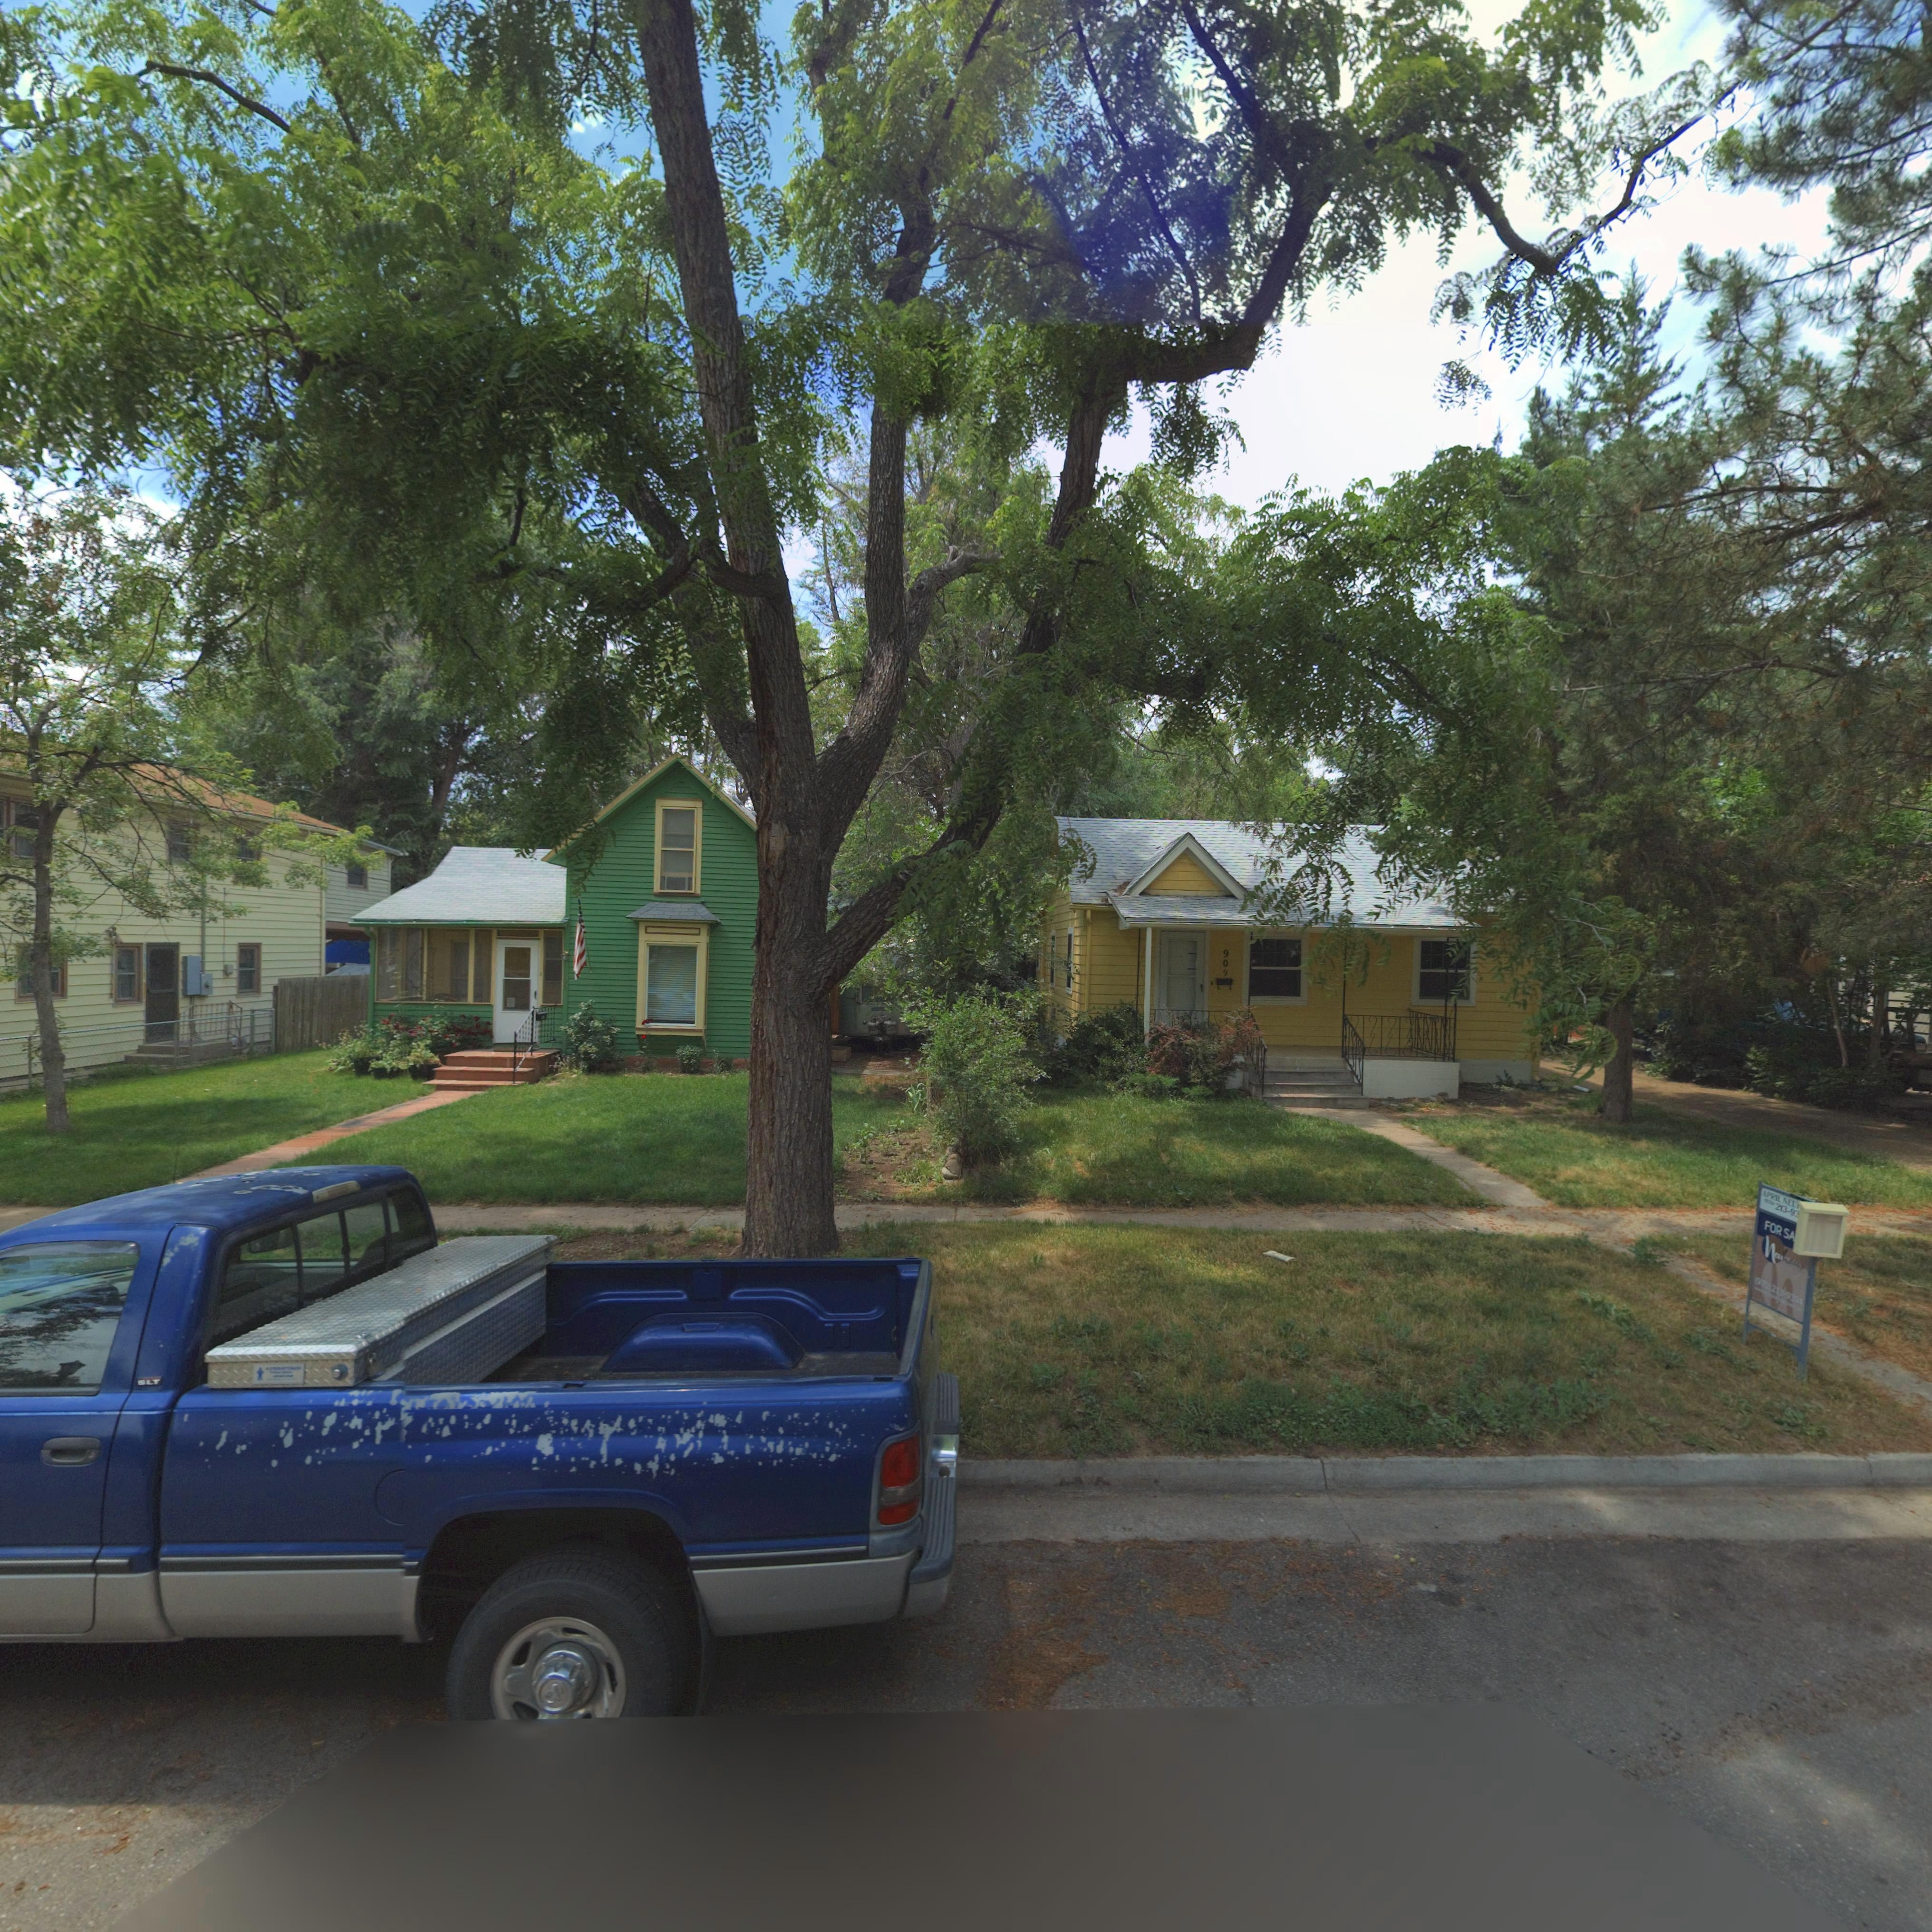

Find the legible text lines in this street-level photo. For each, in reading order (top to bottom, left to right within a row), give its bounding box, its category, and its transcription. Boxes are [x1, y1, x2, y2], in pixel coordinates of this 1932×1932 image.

[1223, 949, 1228, 976] StreetNumber: 909
[563, 972, 567, 990] StreetNumber: 905